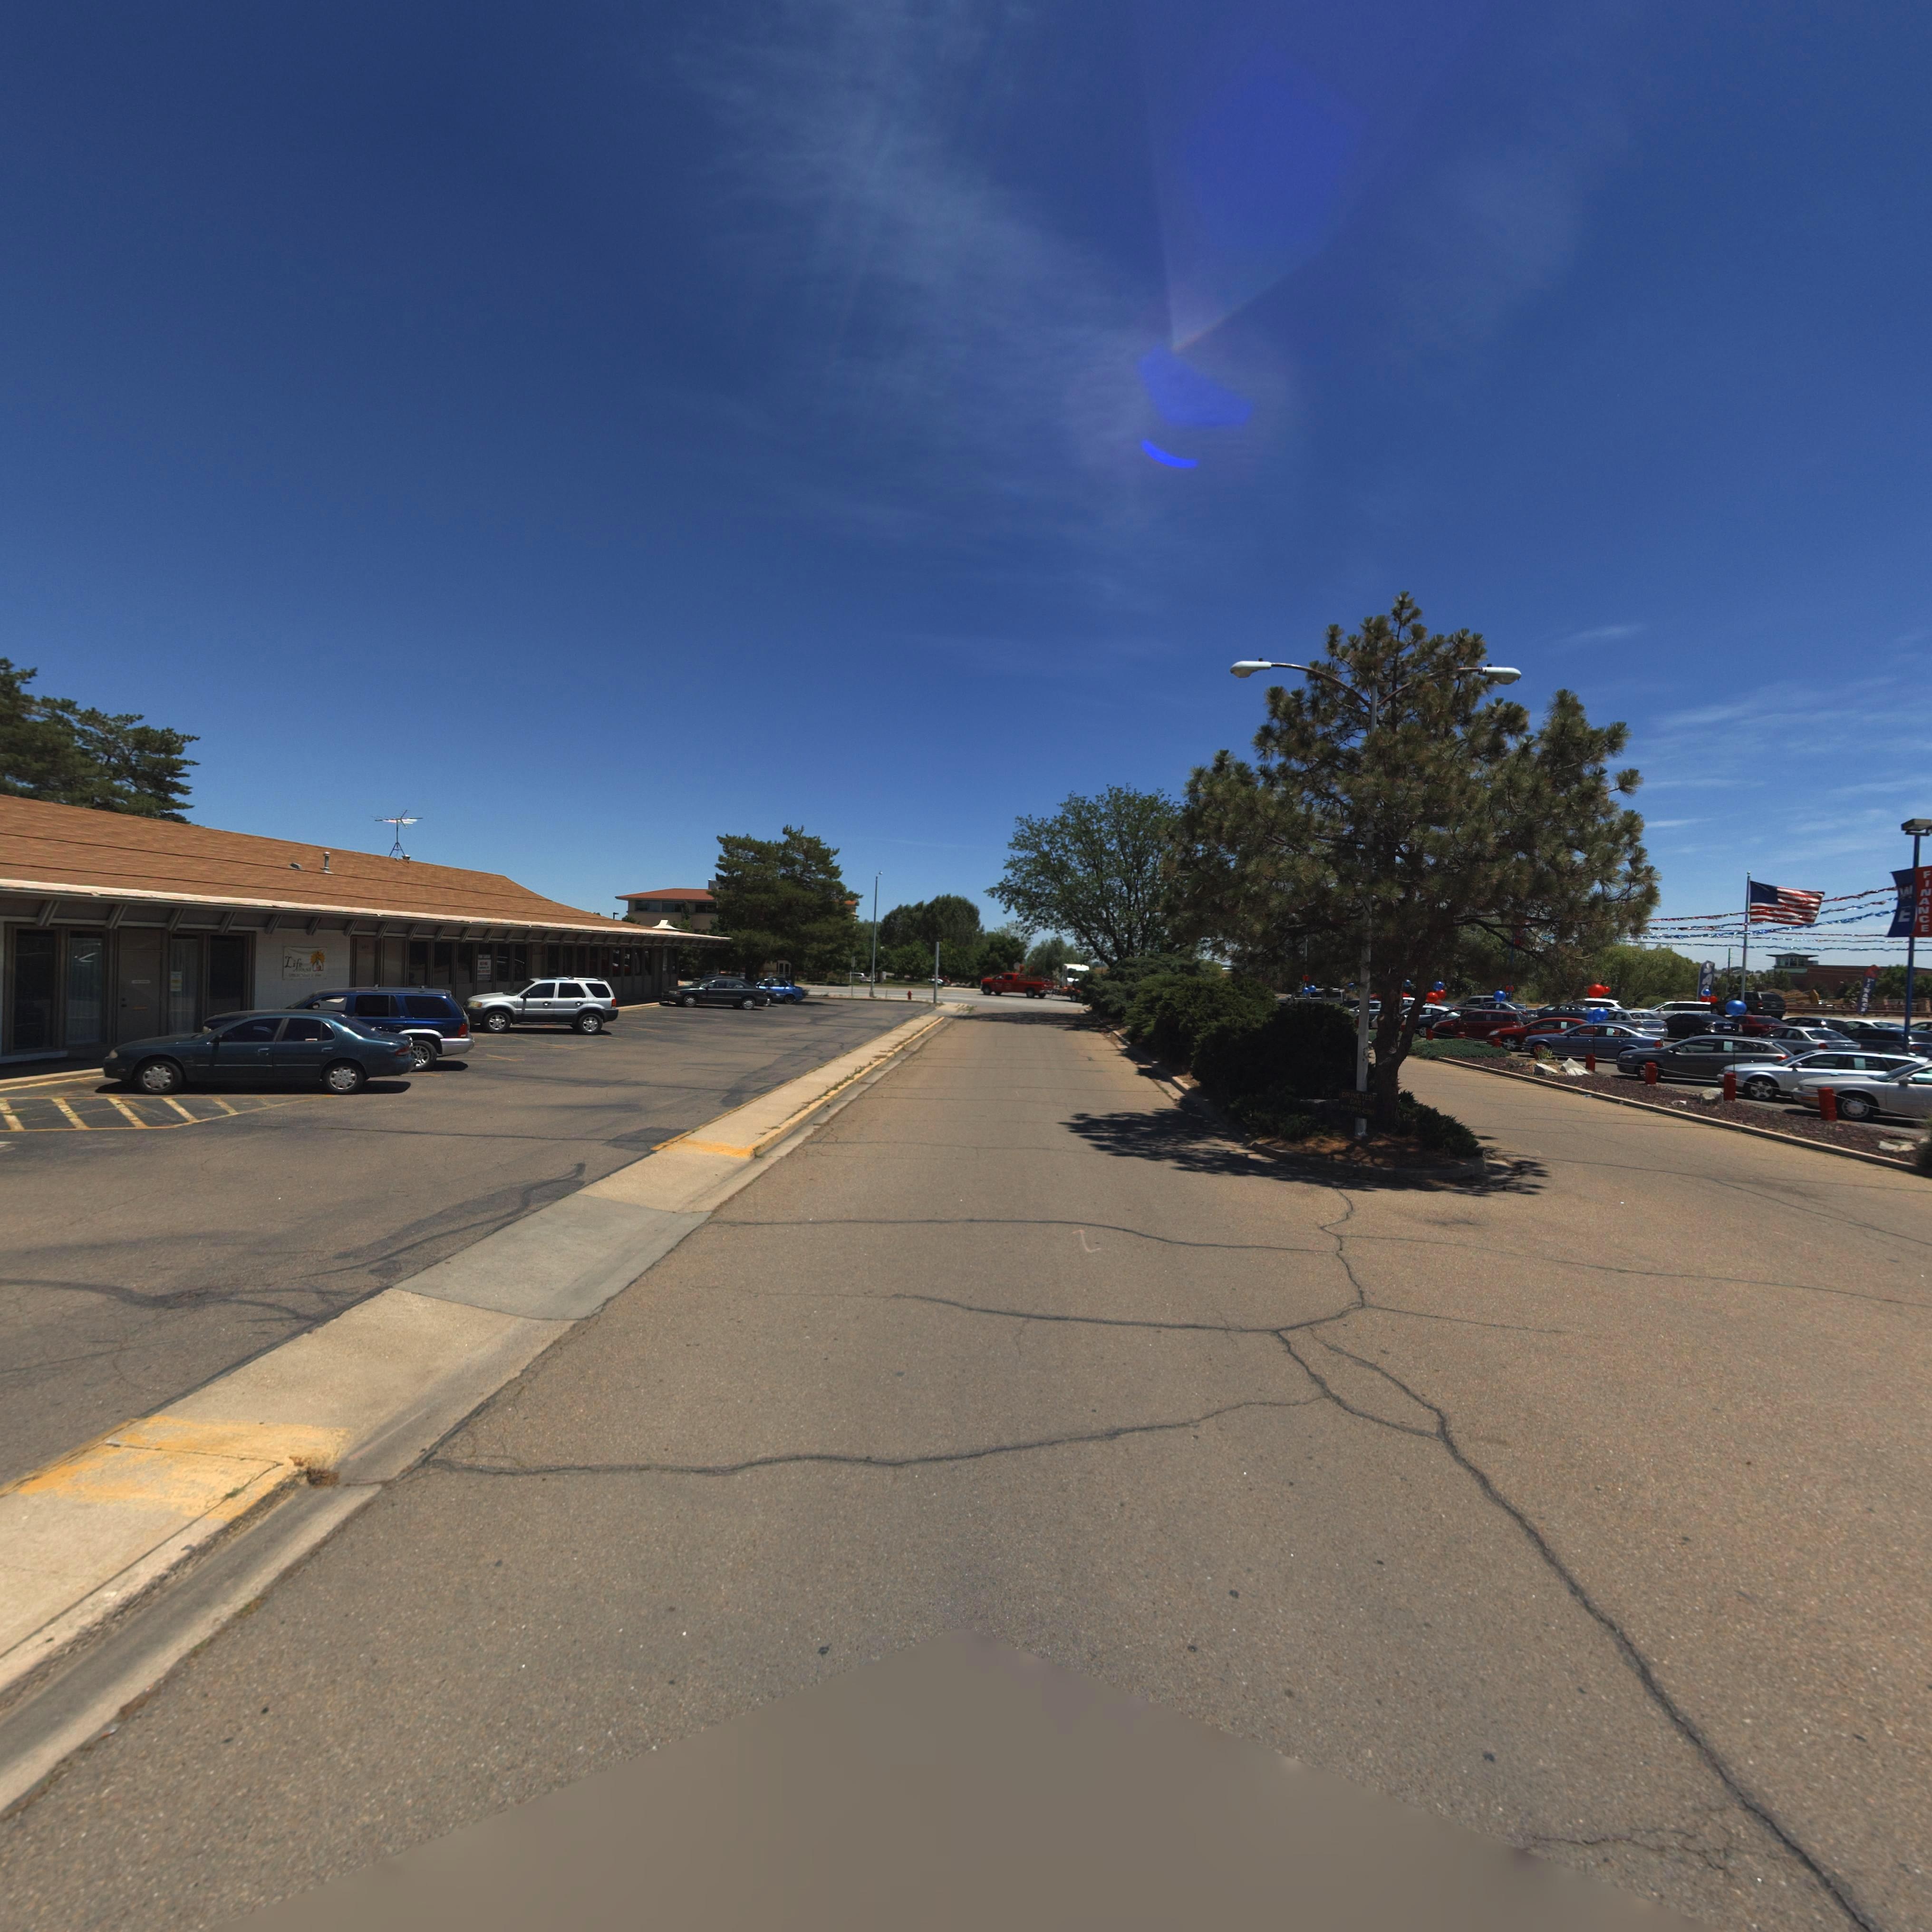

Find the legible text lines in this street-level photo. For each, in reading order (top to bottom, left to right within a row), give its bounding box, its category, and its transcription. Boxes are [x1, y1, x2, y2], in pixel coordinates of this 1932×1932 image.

[284, 955, 303, 972] BusinessName: Life